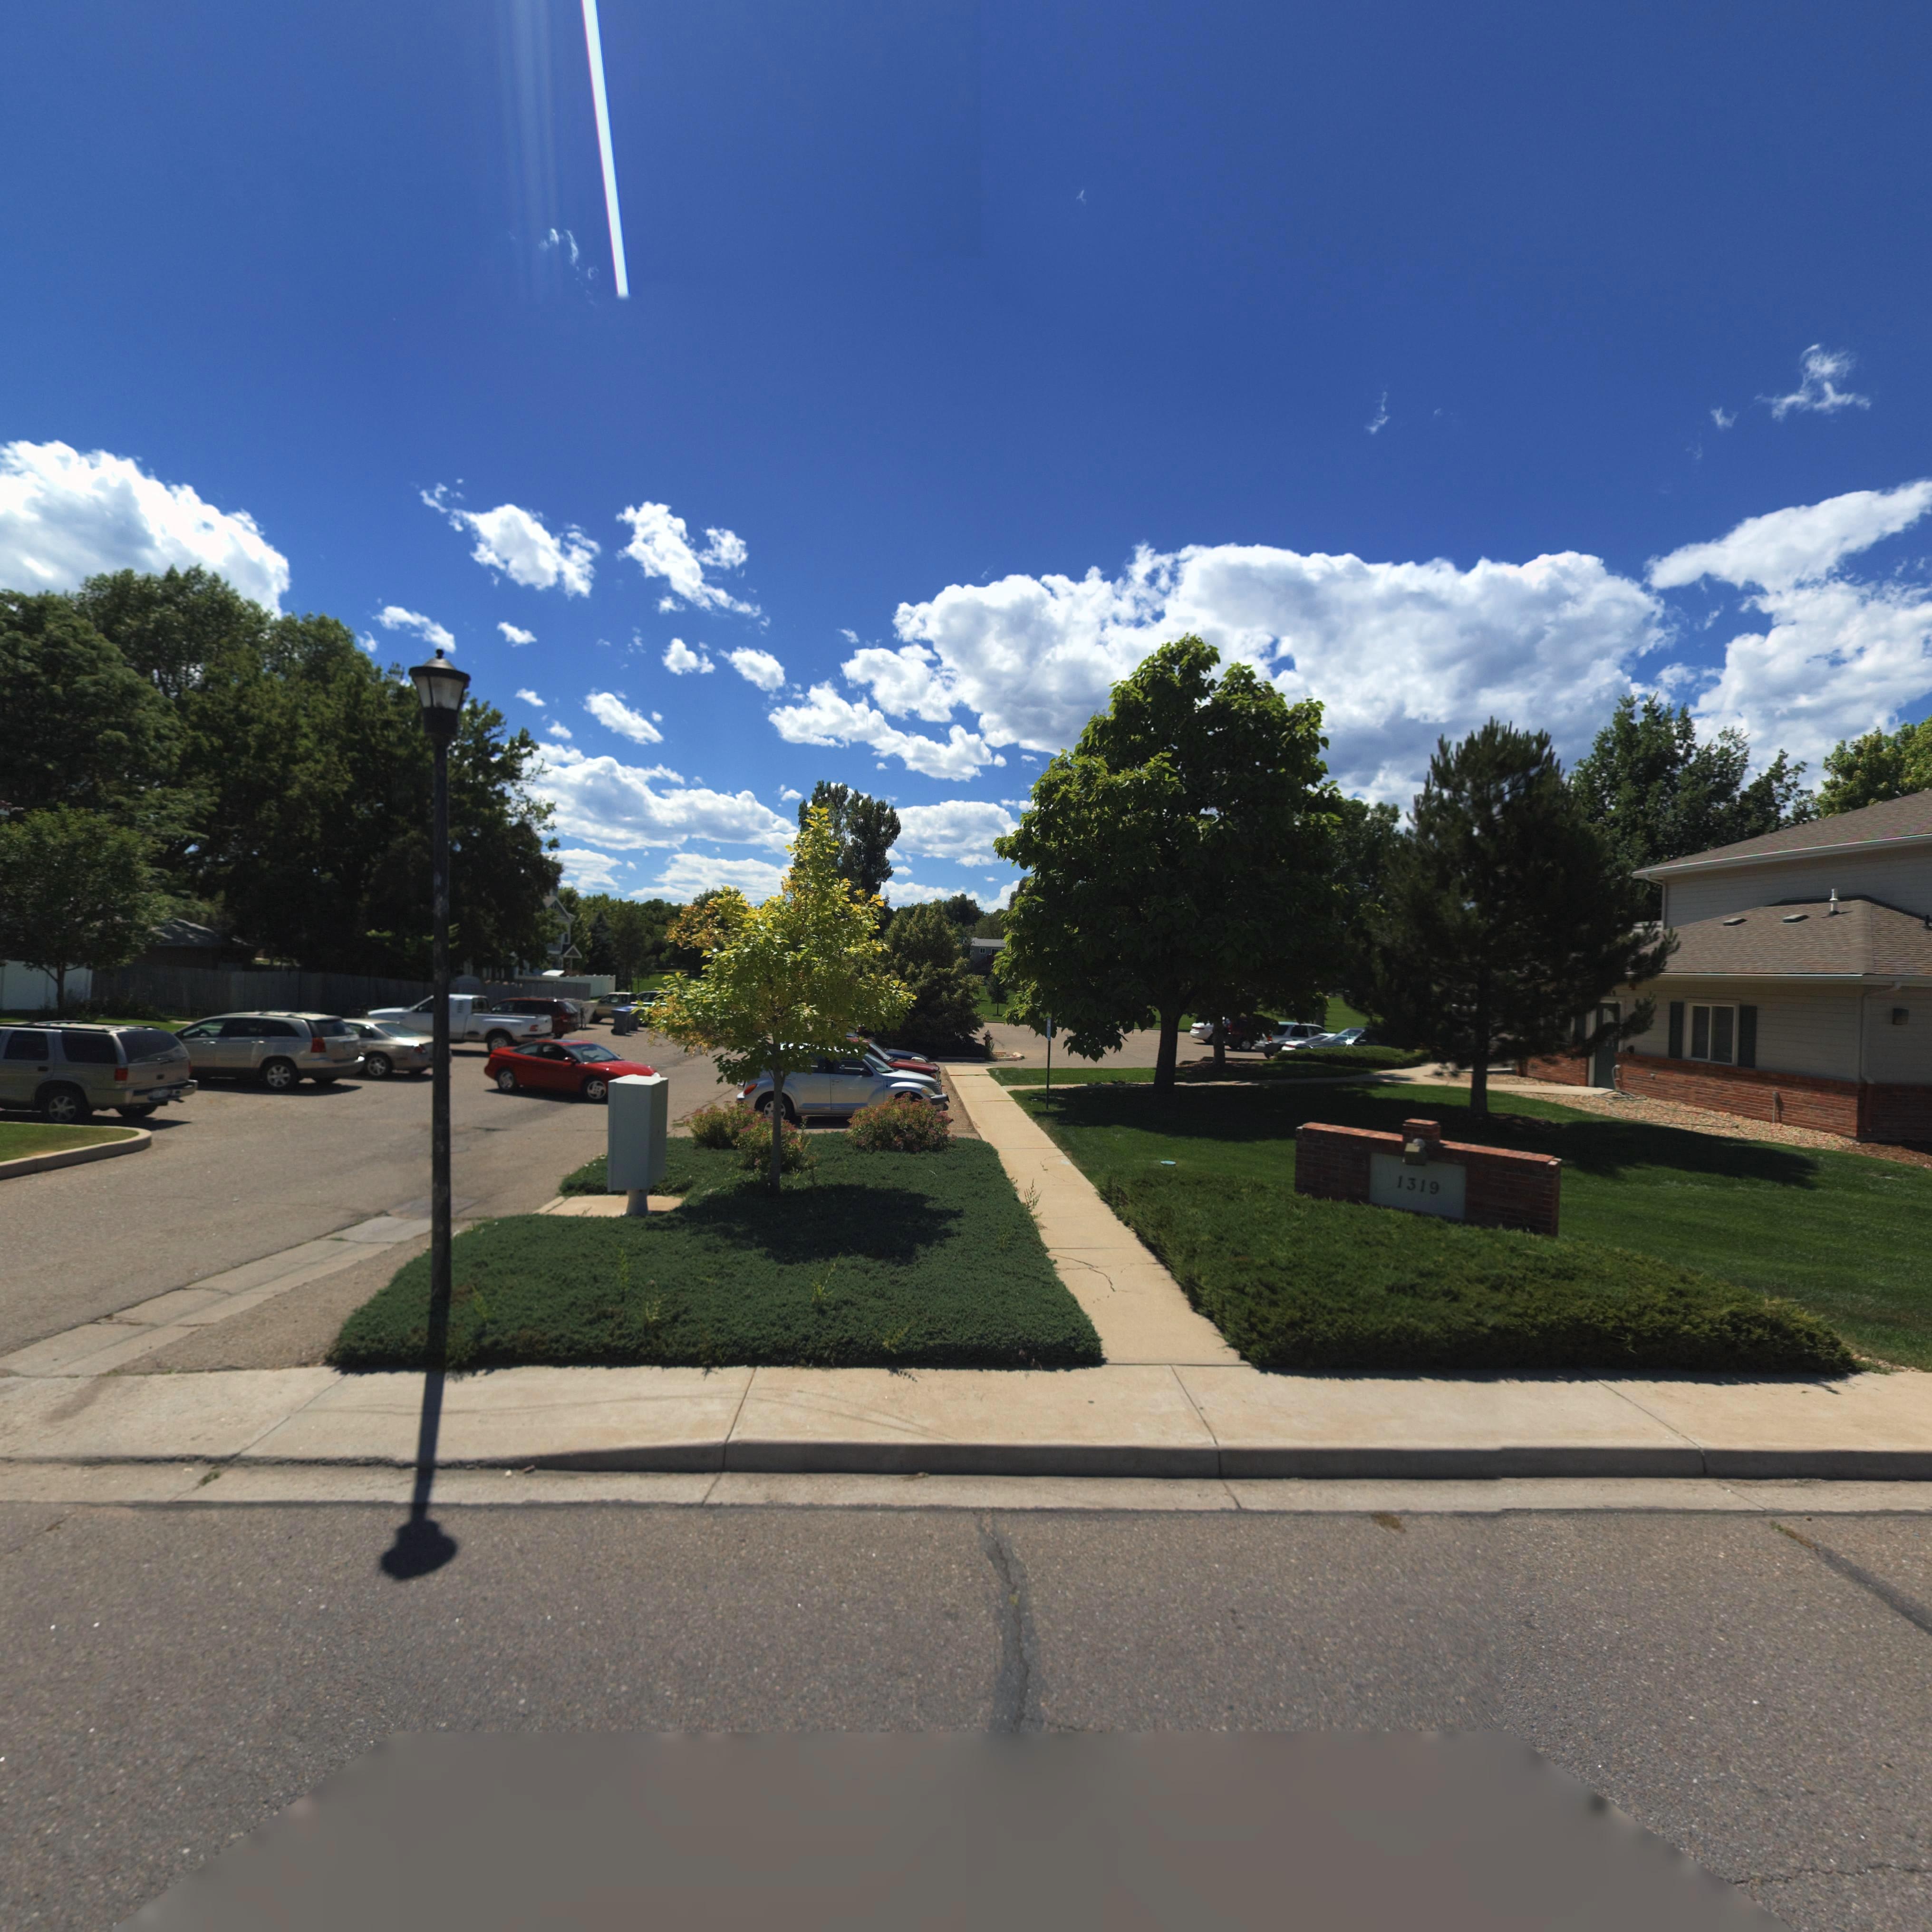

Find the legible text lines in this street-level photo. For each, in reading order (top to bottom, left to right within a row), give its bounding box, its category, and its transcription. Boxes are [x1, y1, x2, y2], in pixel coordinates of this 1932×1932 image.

[1396, 1174, 1439, 1197] StreetNumber: 1319